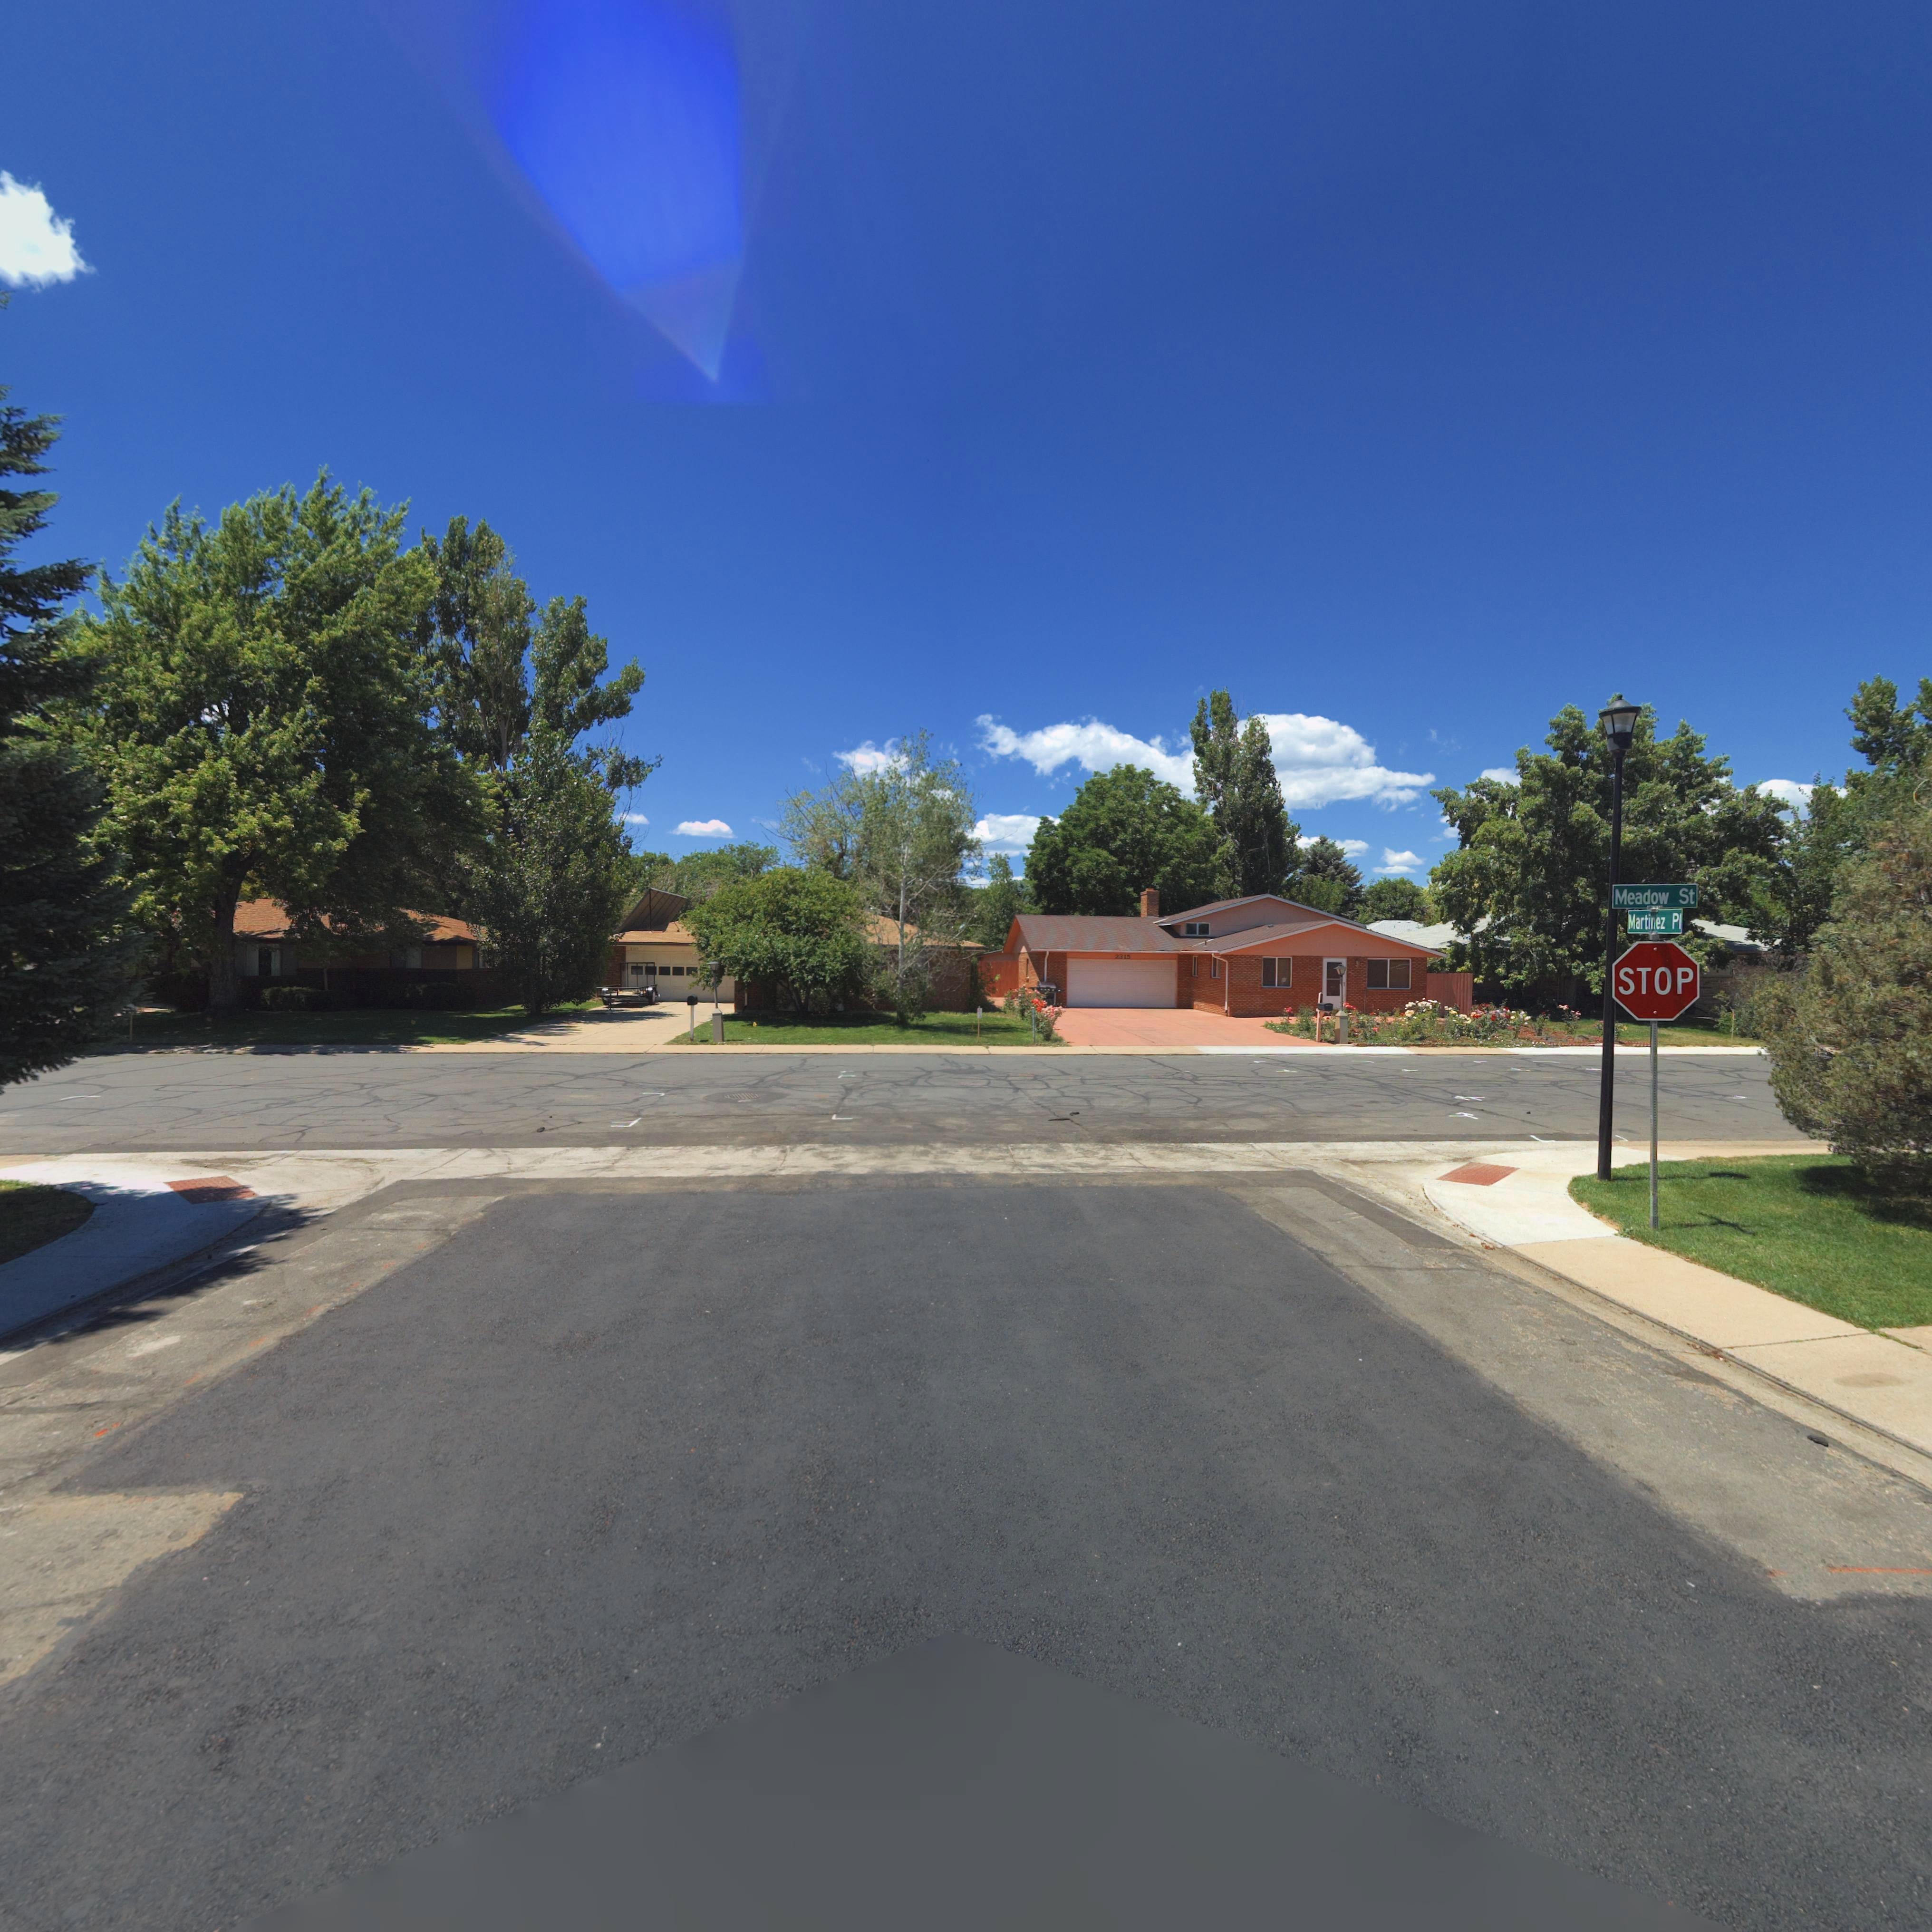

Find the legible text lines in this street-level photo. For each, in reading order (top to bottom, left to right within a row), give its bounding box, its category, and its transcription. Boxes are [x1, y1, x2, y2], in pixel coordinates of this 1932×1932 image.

[1614, 887, 1695, 905] StreetName: Meadow St
[1628, 912, 1681, 930] StreetName: Martinez Pl
[1115, 954, 1130, 959] StreetNumber: 2315